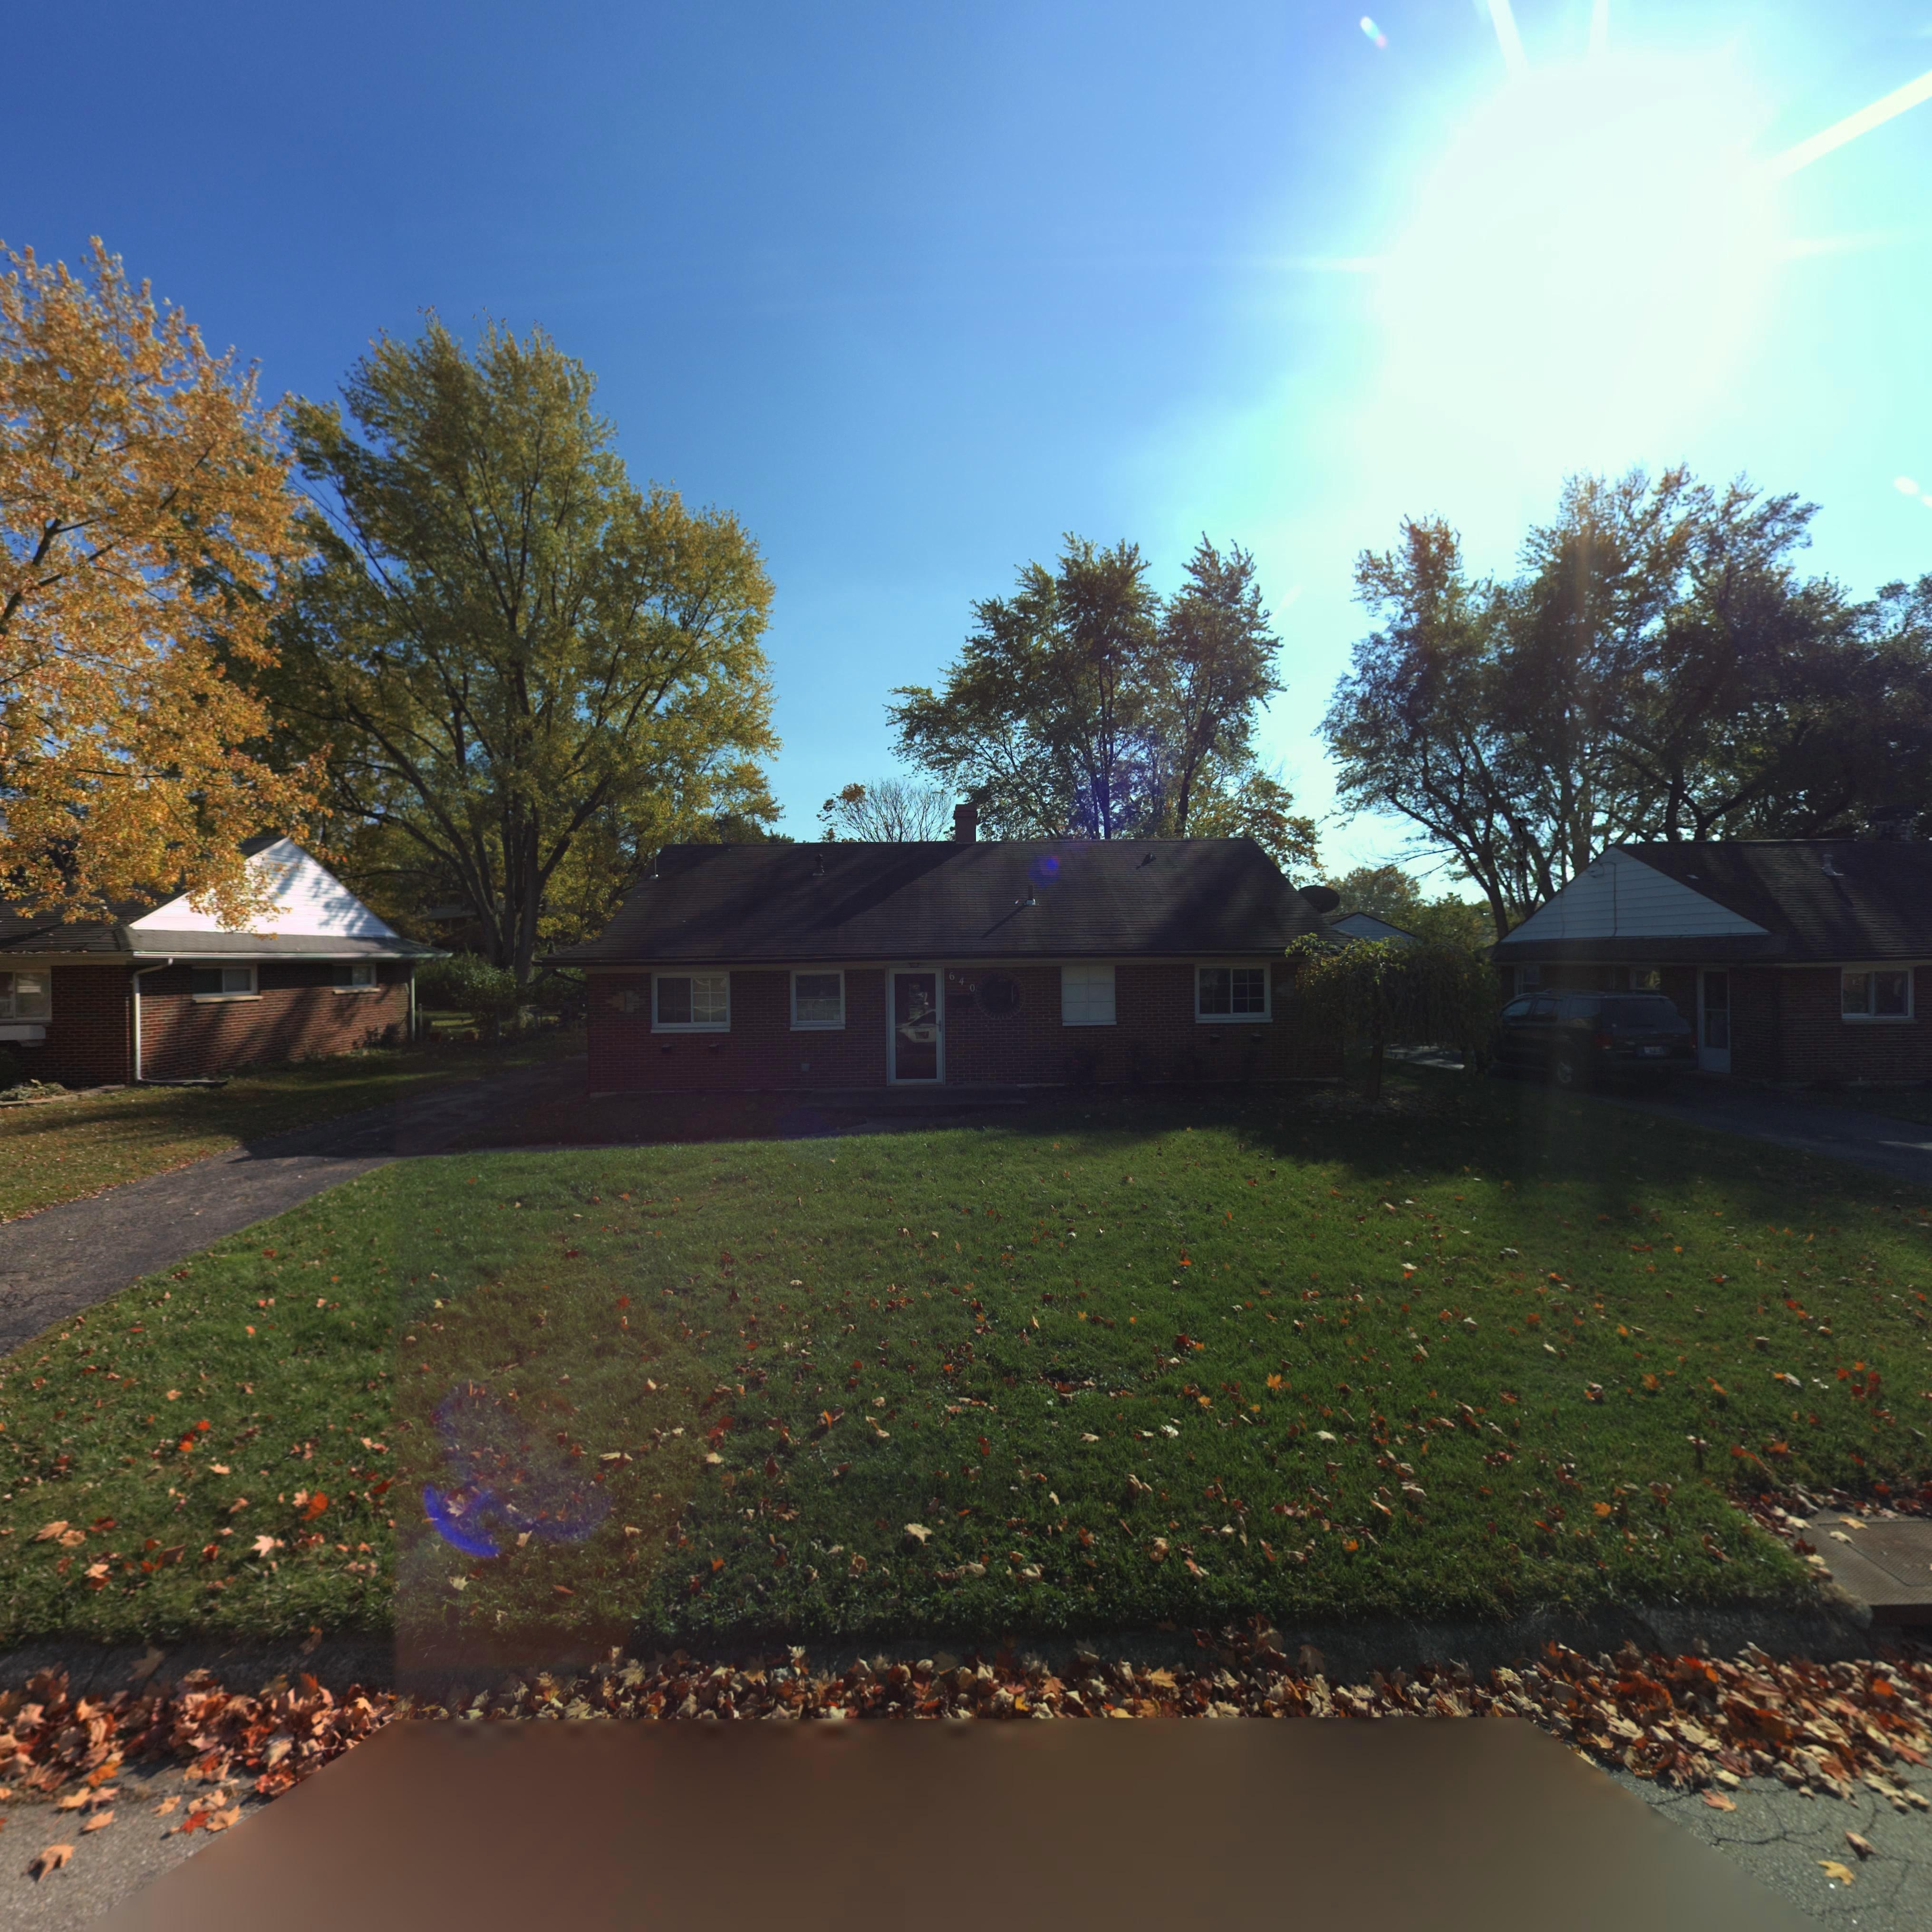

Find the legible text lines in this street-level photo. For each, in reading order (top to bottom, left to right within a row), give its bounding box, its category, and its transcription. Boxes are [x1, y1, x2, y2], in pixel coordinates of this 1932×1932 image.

[947, 970, 976, 993] StreetNumber: 640